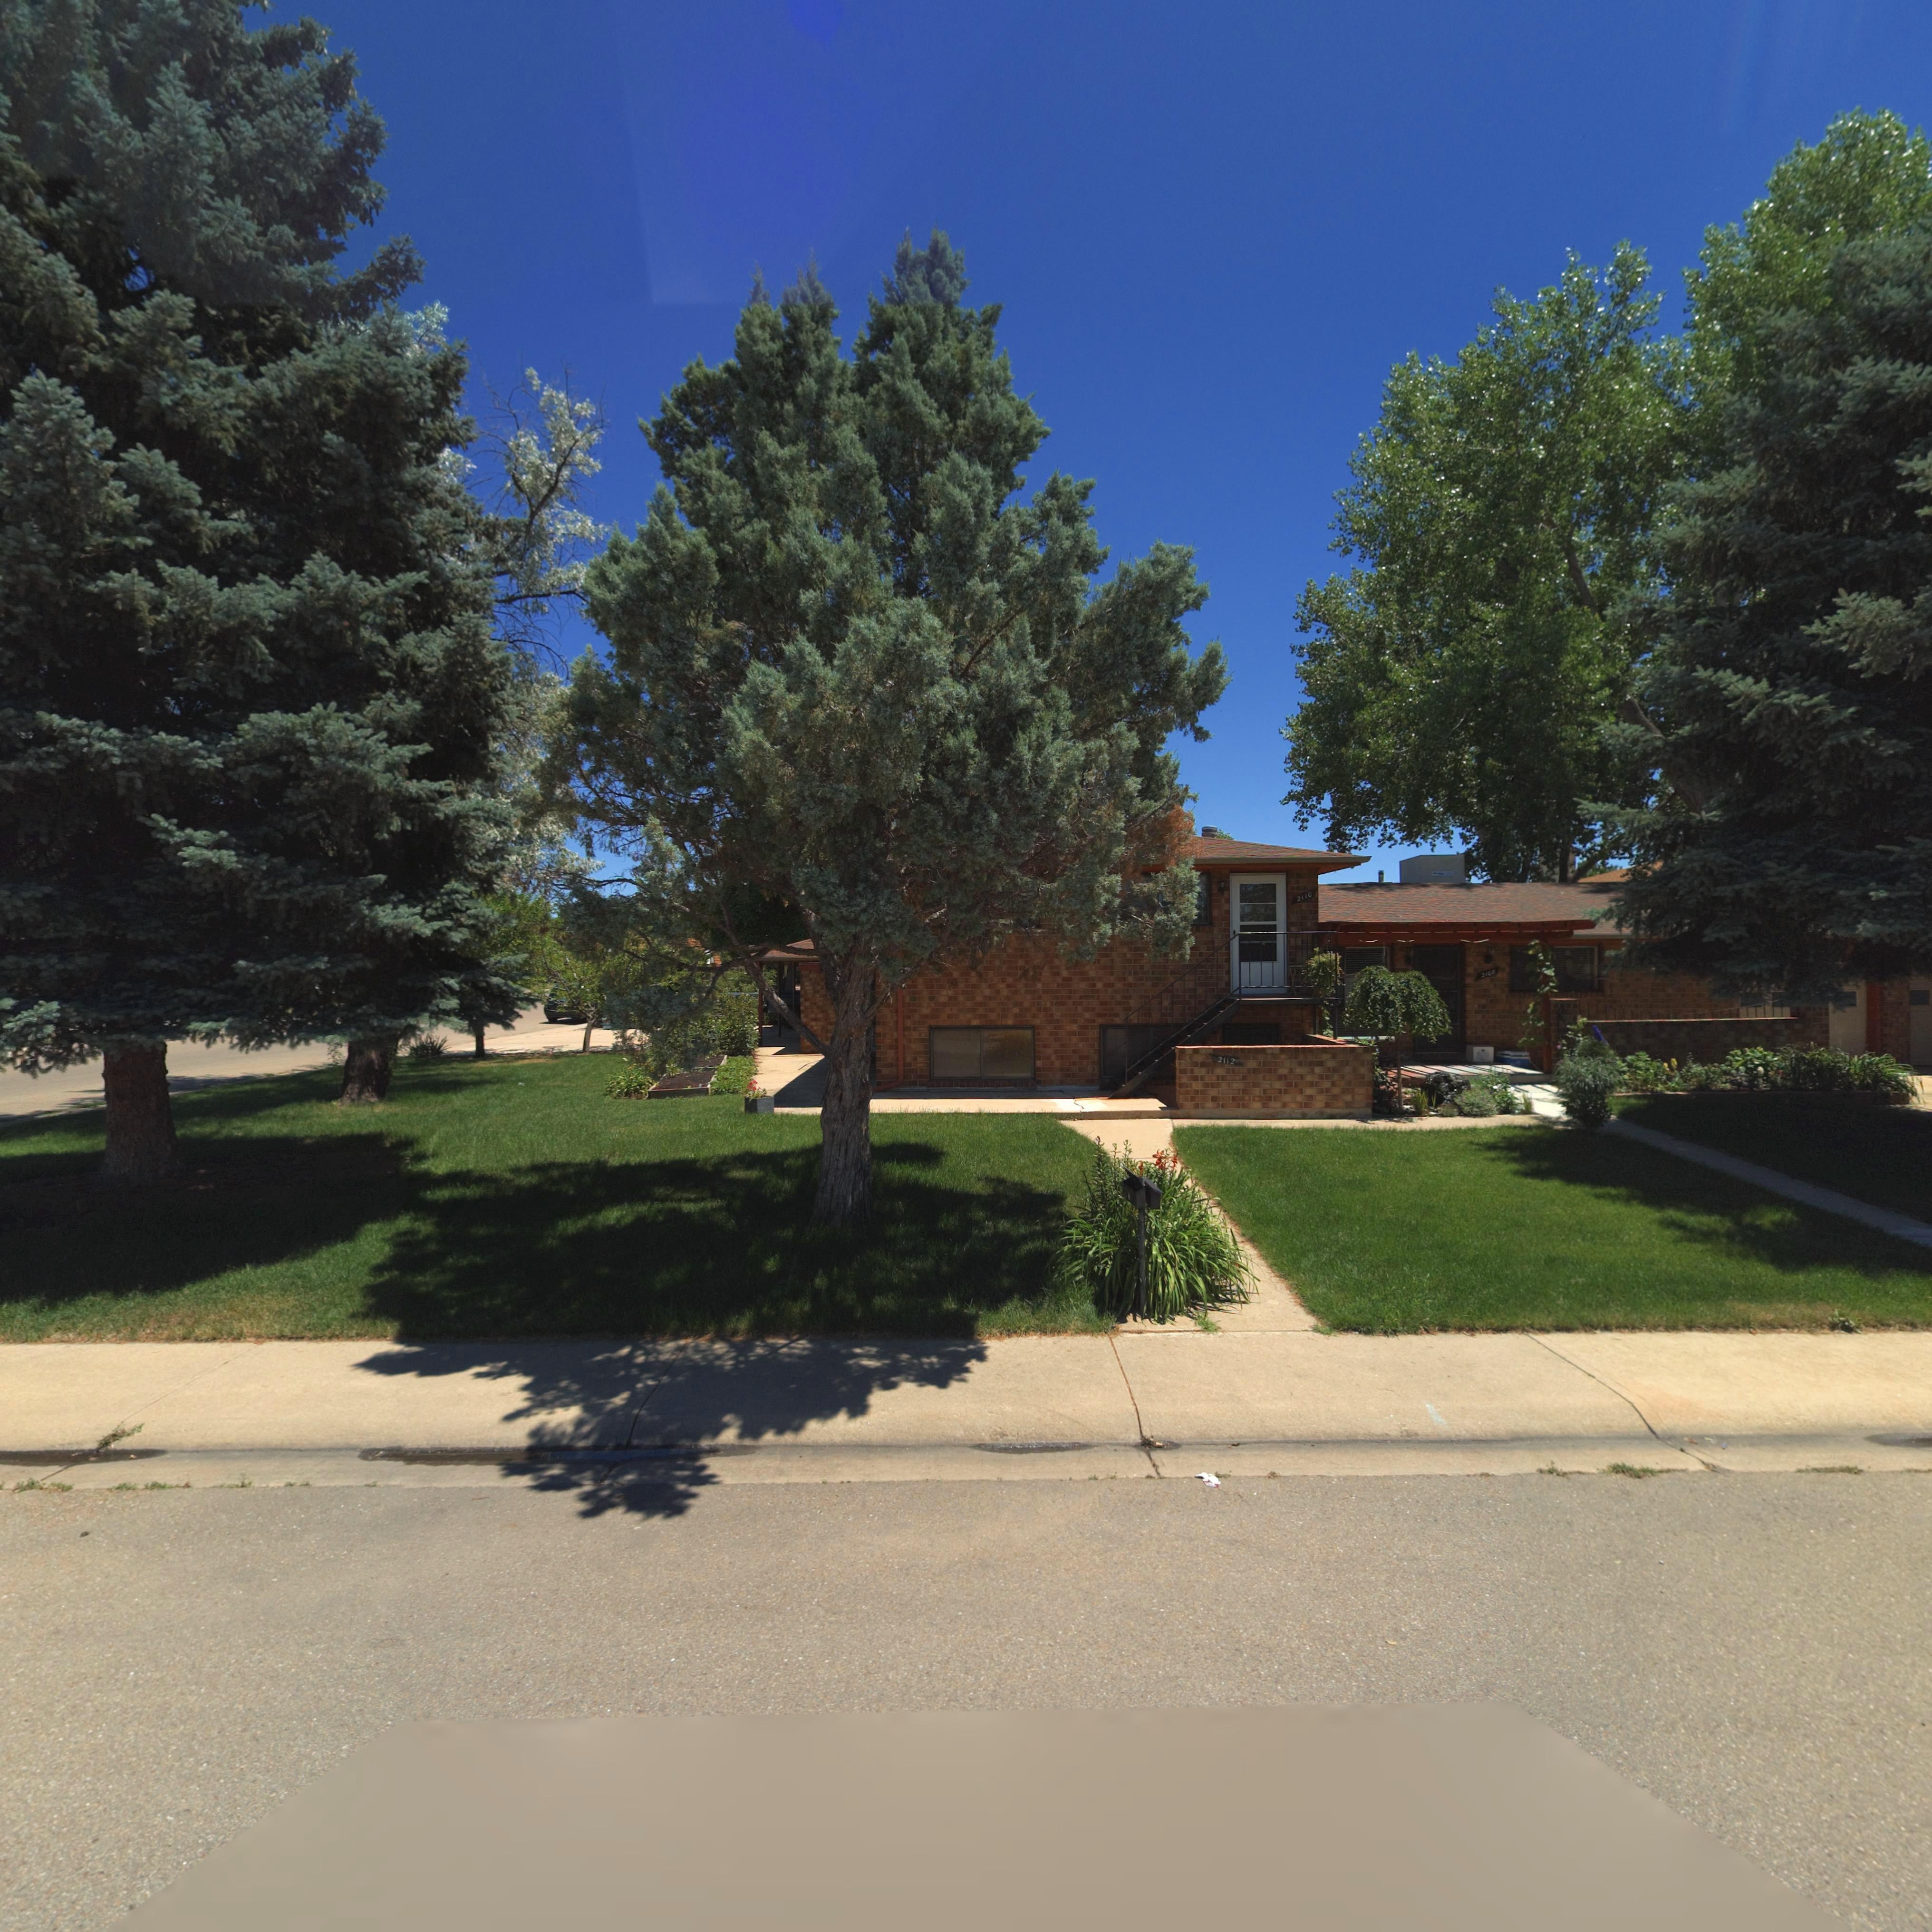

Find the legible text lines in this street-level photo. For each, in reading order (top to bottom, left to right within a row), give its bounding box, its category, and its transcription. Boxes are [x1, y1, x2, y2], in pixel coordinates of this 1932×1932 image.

[1295, 890, 1313, 903] StreetNumber: 2110
[1480, 968, 1496, 979] StreetNumber: 2108
[1215, 1055, 1236, 1065] StreetNumber: 2112